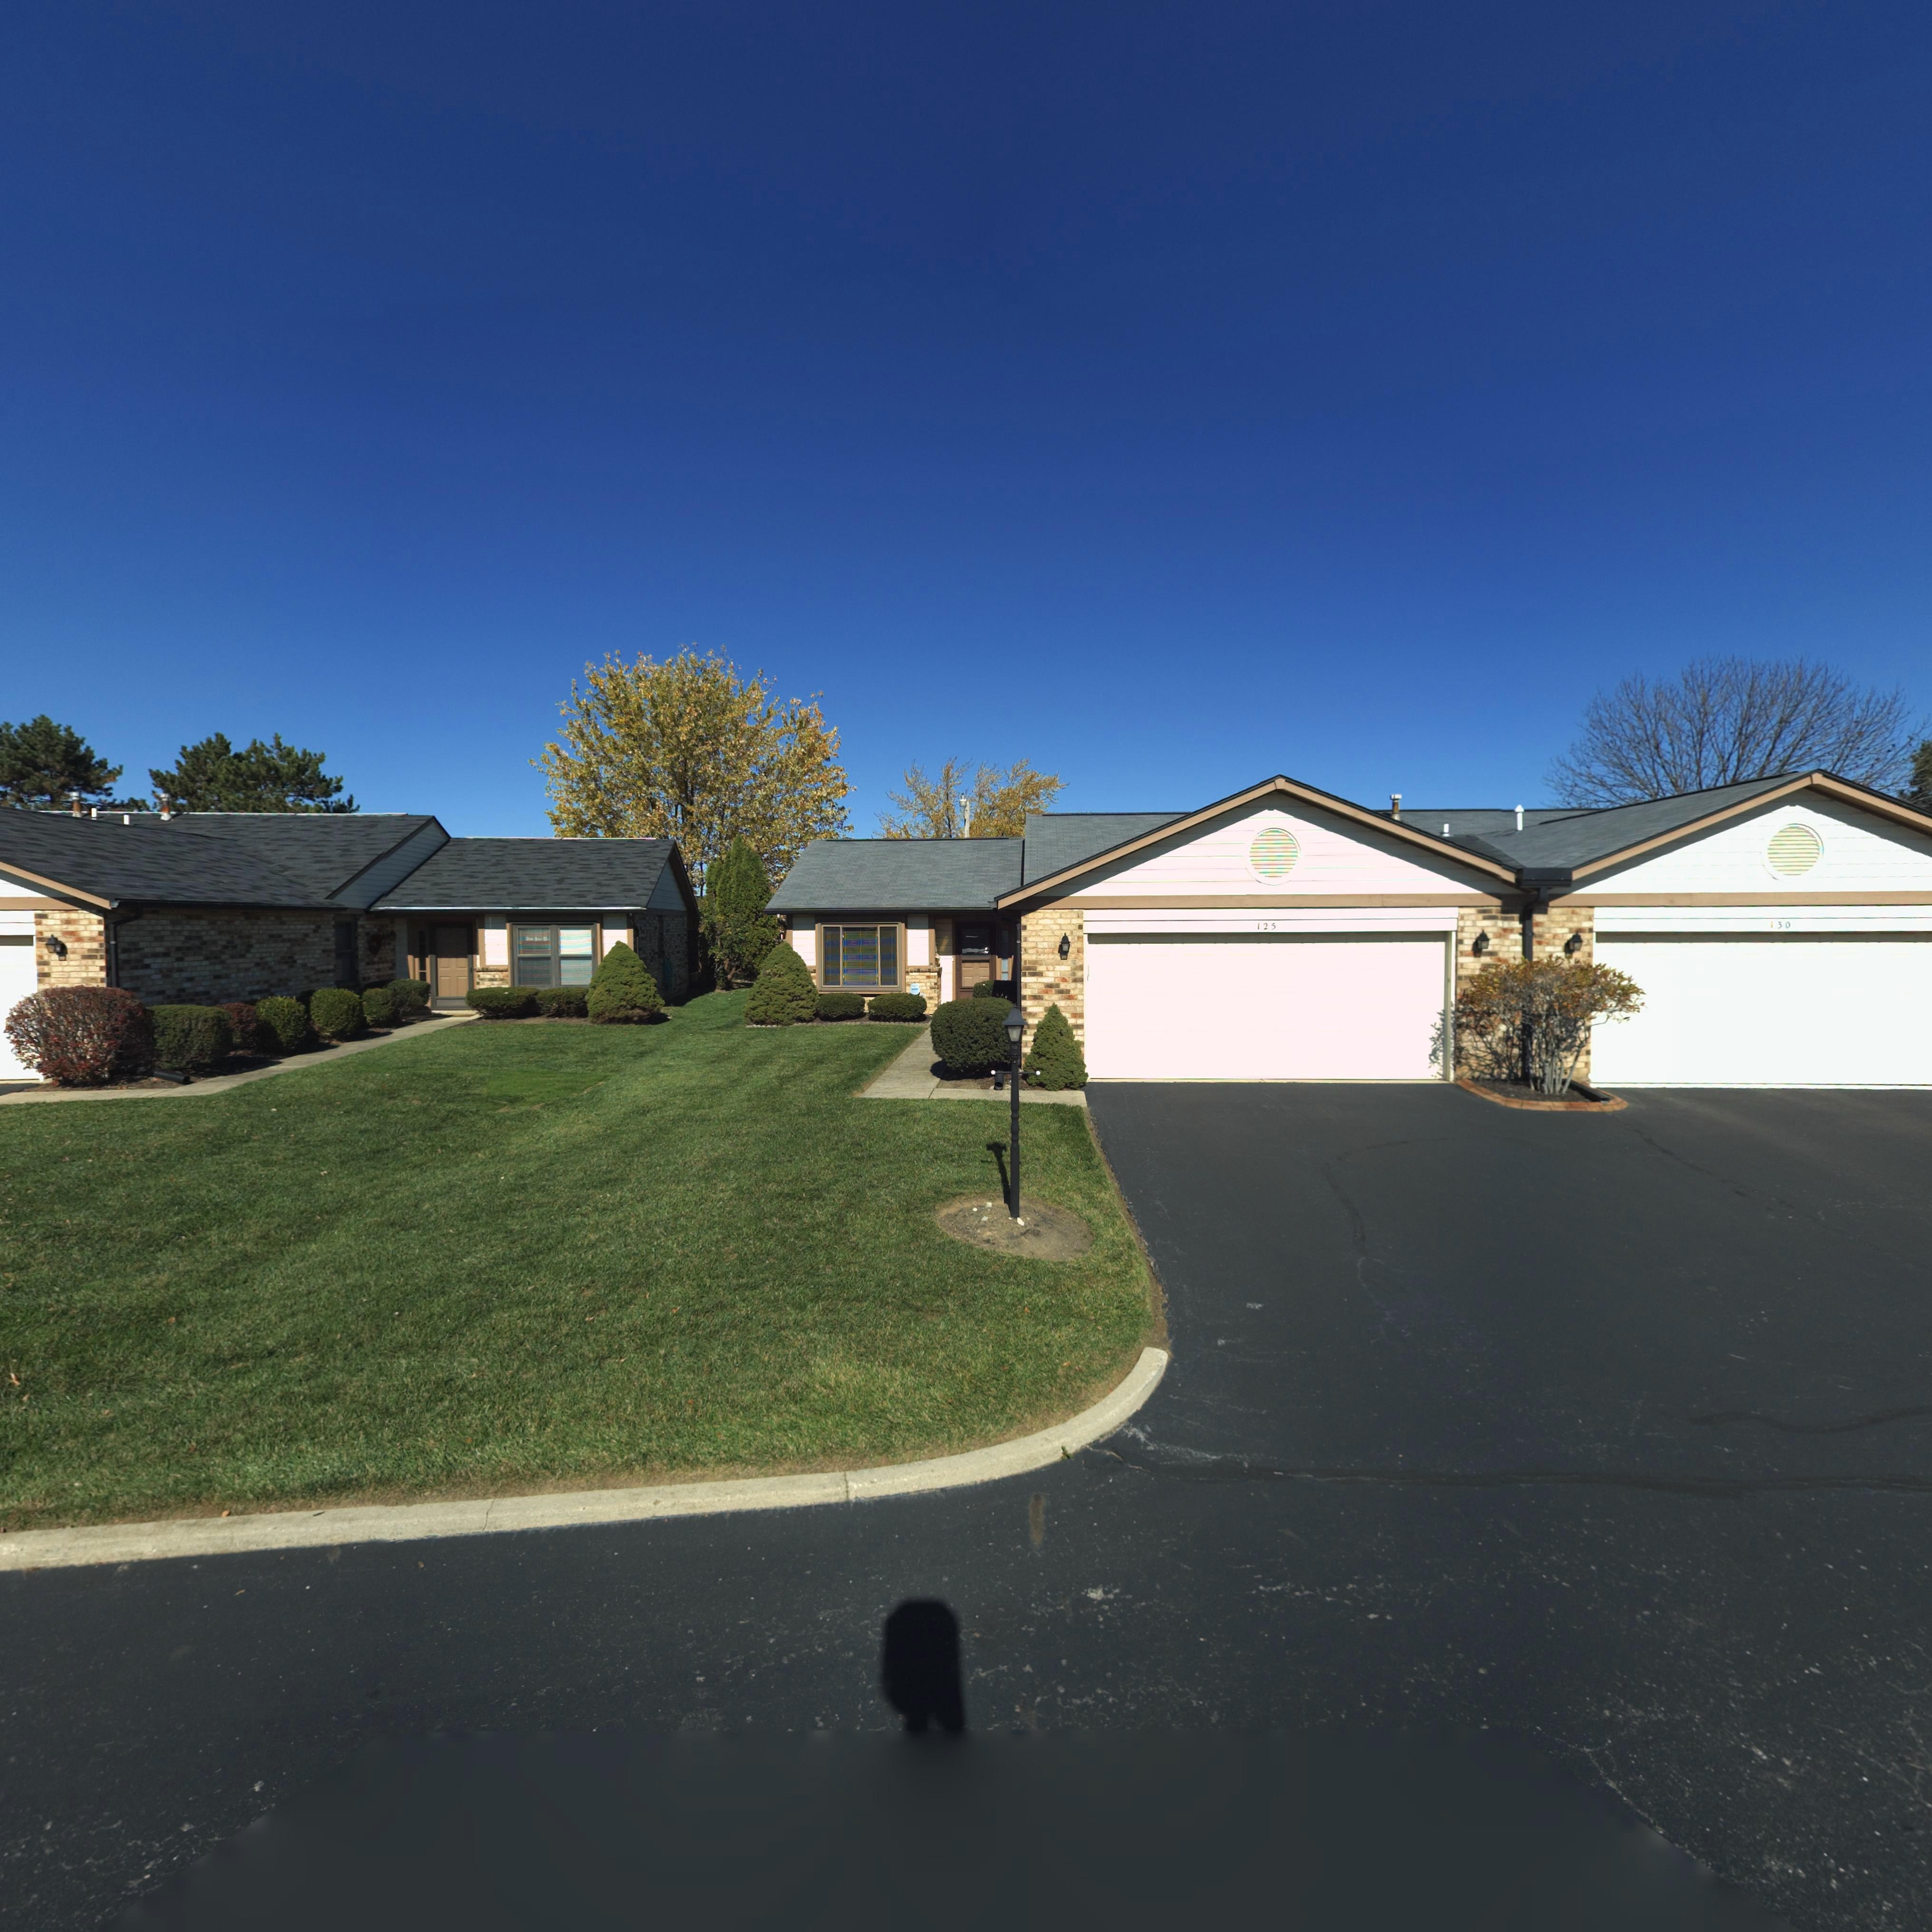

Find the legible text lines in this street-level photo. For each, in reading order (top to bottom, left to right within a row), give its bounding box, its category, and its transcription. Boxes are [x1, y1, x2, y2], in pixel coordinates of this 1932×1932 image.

[1256, 922, 1277, 931] StreetNumber: 125
[1769, 920, 1791, 930] StreetNumber: 130